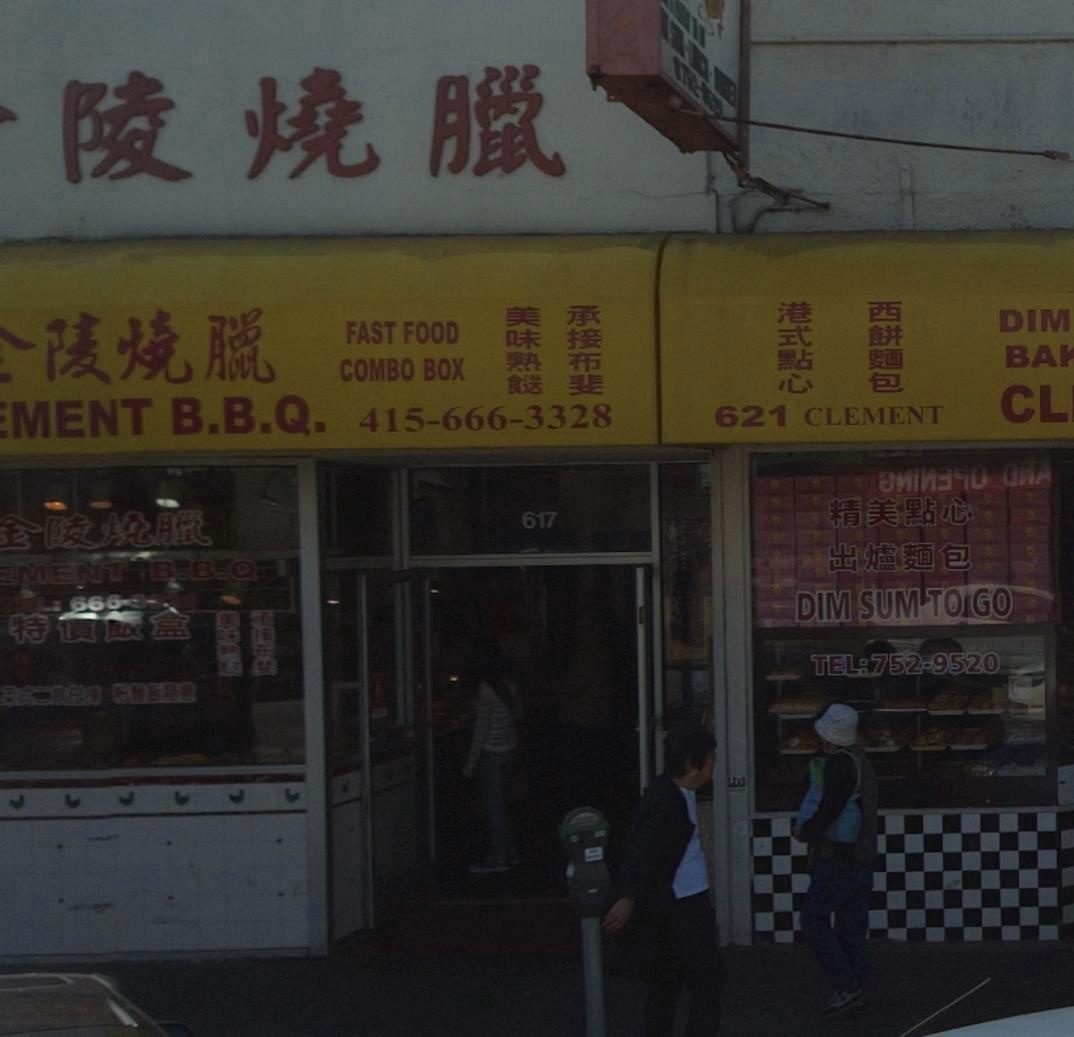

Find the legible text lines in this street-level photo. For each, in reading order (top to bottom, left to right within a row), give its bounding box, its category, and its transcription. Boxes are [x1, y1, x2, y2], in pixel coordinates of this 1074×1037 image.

[345, 318, 460, 346] None: FAST FOOD
[995, 305, 1071, 336] None: DIM
[339, 355, 466, 383] None: COMBO BOX
[1003, 342, 1062, 372] None: BA
[10, 391, 328, 442] BusinessName: MENT B.B.Q.
[357, 400, 614, 435] None: 415-666-3328
[714, 401, 789, 429] StreetNumber: 621
[804, 401, 946, 429] StreetName: CLEMENT
[999, 382, 1070, 427] None: CL
[520, 508, 557, 531] StreetNumber: 617
[13, 557, 260, 586] None: MENT B.B.Q
[35, 591, 165, 612] None: L:666-33
[794, 583, 1016, 625] None: DIM SUM TO GO
[808, 648, 1003, 680] None: TEL:752-9520